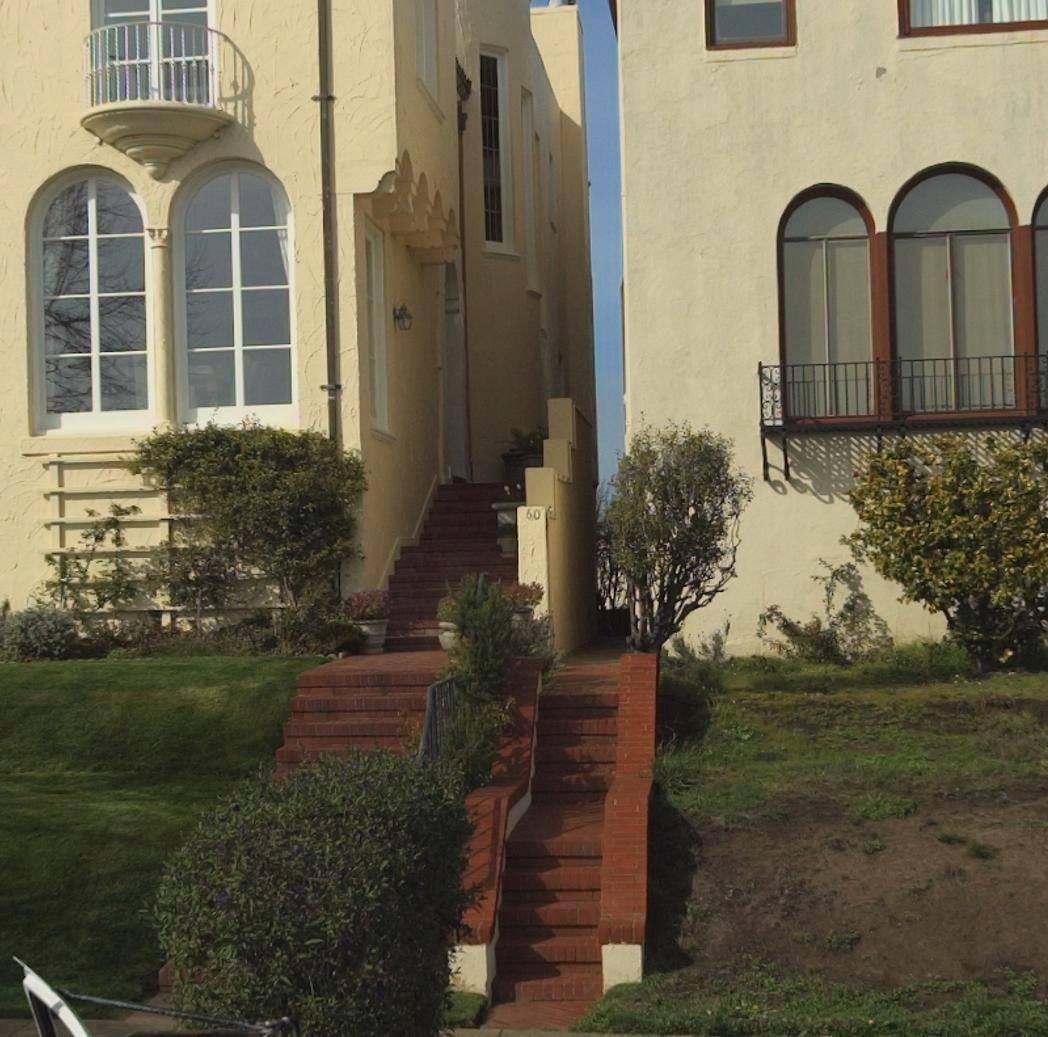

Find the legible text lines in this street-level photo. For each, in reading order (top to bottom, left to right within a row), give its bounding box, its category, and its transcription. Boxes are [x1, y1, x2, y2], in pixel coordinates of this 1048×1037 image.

[524, 507, 543, 522] StreetNumber: 60